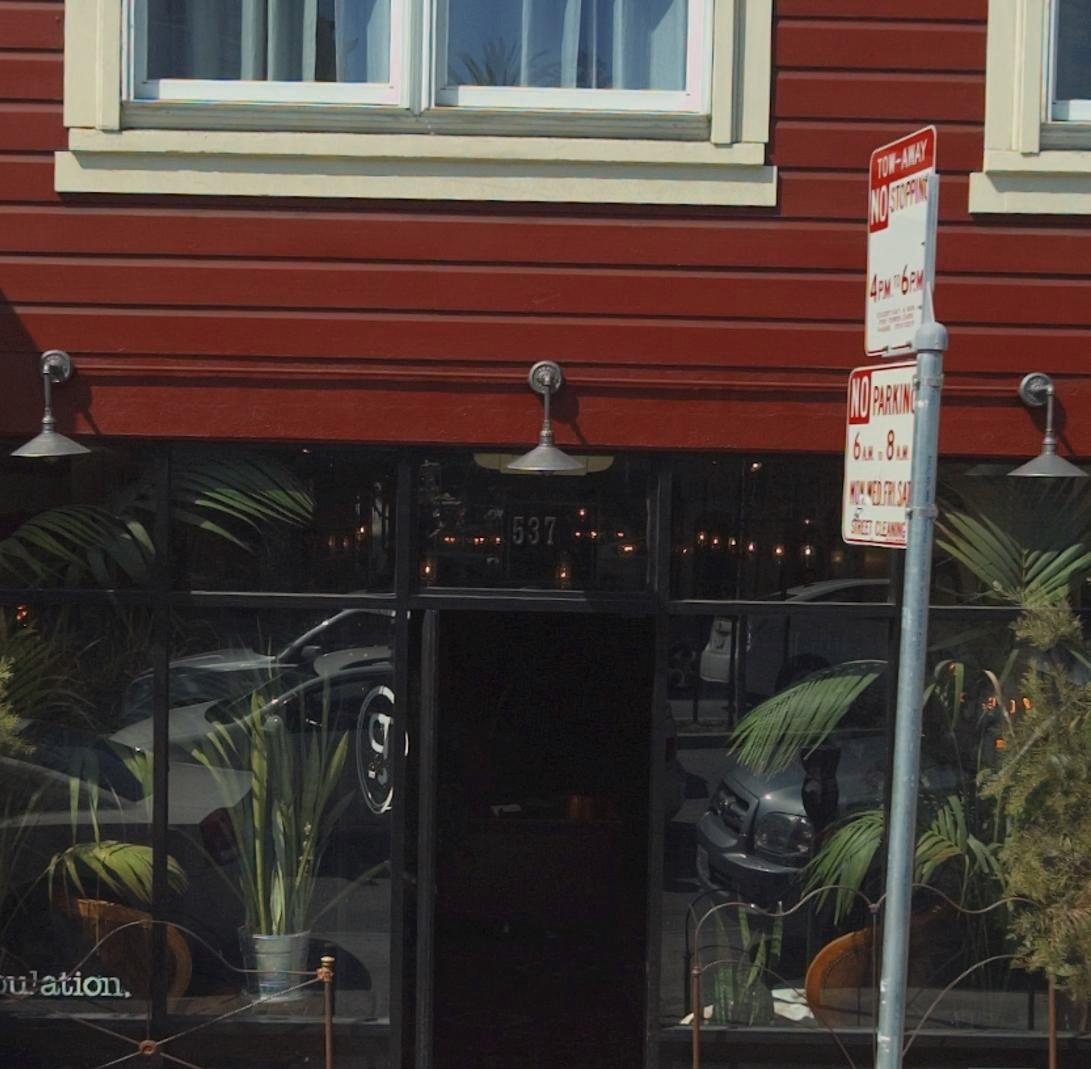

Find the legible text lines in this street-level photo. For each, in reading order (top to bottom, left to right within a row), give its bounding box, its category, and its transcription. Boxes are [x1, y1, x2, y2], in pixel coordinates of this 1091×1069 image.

[874, 135, 931, 184] None: TOW-AWAY
[868, 167, 932, 228] None: NO STOPPING
[866, 257, 926, 306] None: 4PM TO 6PM
[847, 365, 911, 420] None: NO PARKIN
[850, 428, 912, 462] None: 6AM TO 8AM
[511, 515, 557, 548] StreetNumber: 537
[847, 518, 907, 539] None: STREET CLEANING
[6, 970, 126, 998] None: ulation